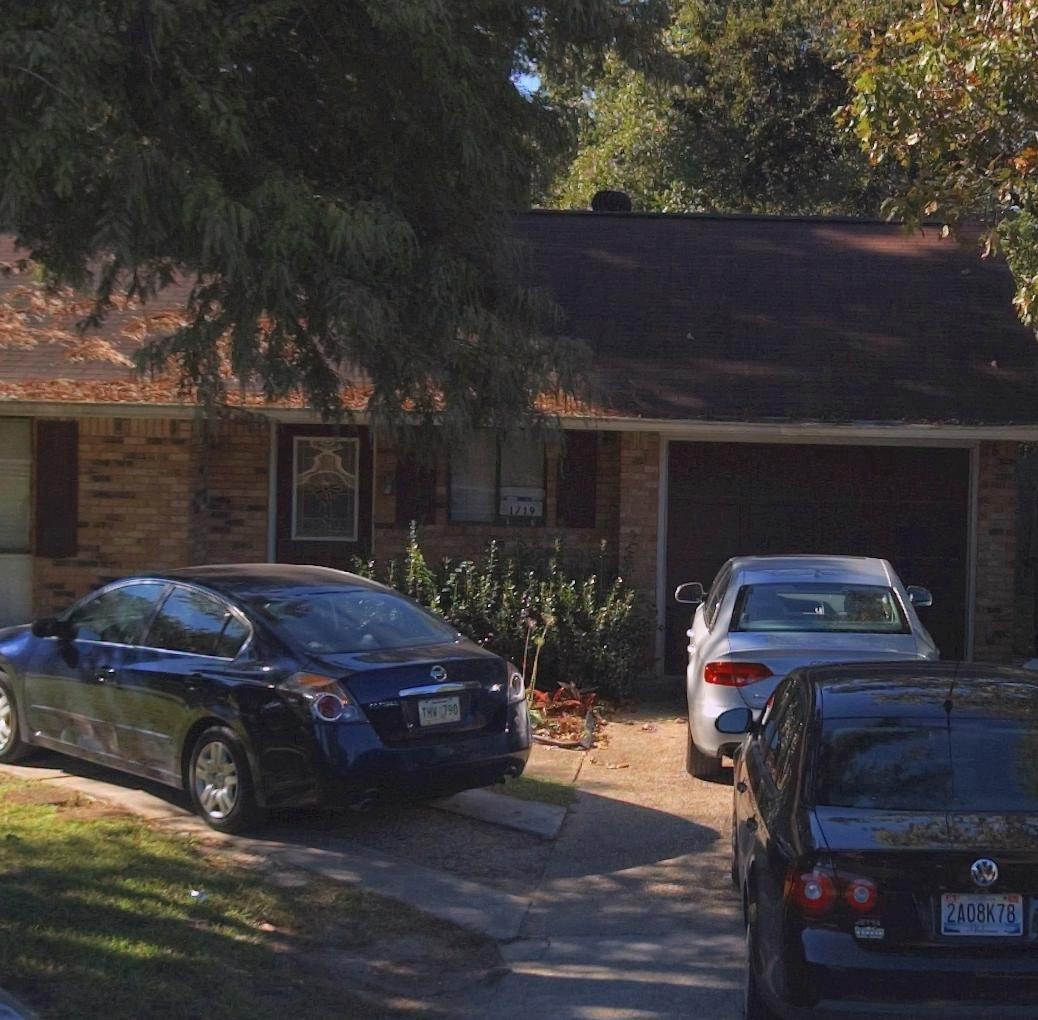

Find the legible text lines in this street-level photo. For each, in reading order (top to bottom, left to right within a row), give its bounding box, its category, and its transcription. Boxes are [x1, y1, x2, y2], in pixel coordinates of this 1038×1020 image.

[508, 503, 538, 517] StreetNumber: 1719
[420, 701, 461, 722] None: TH**790
[944, 899, 1018, 926] None: 2A08K78